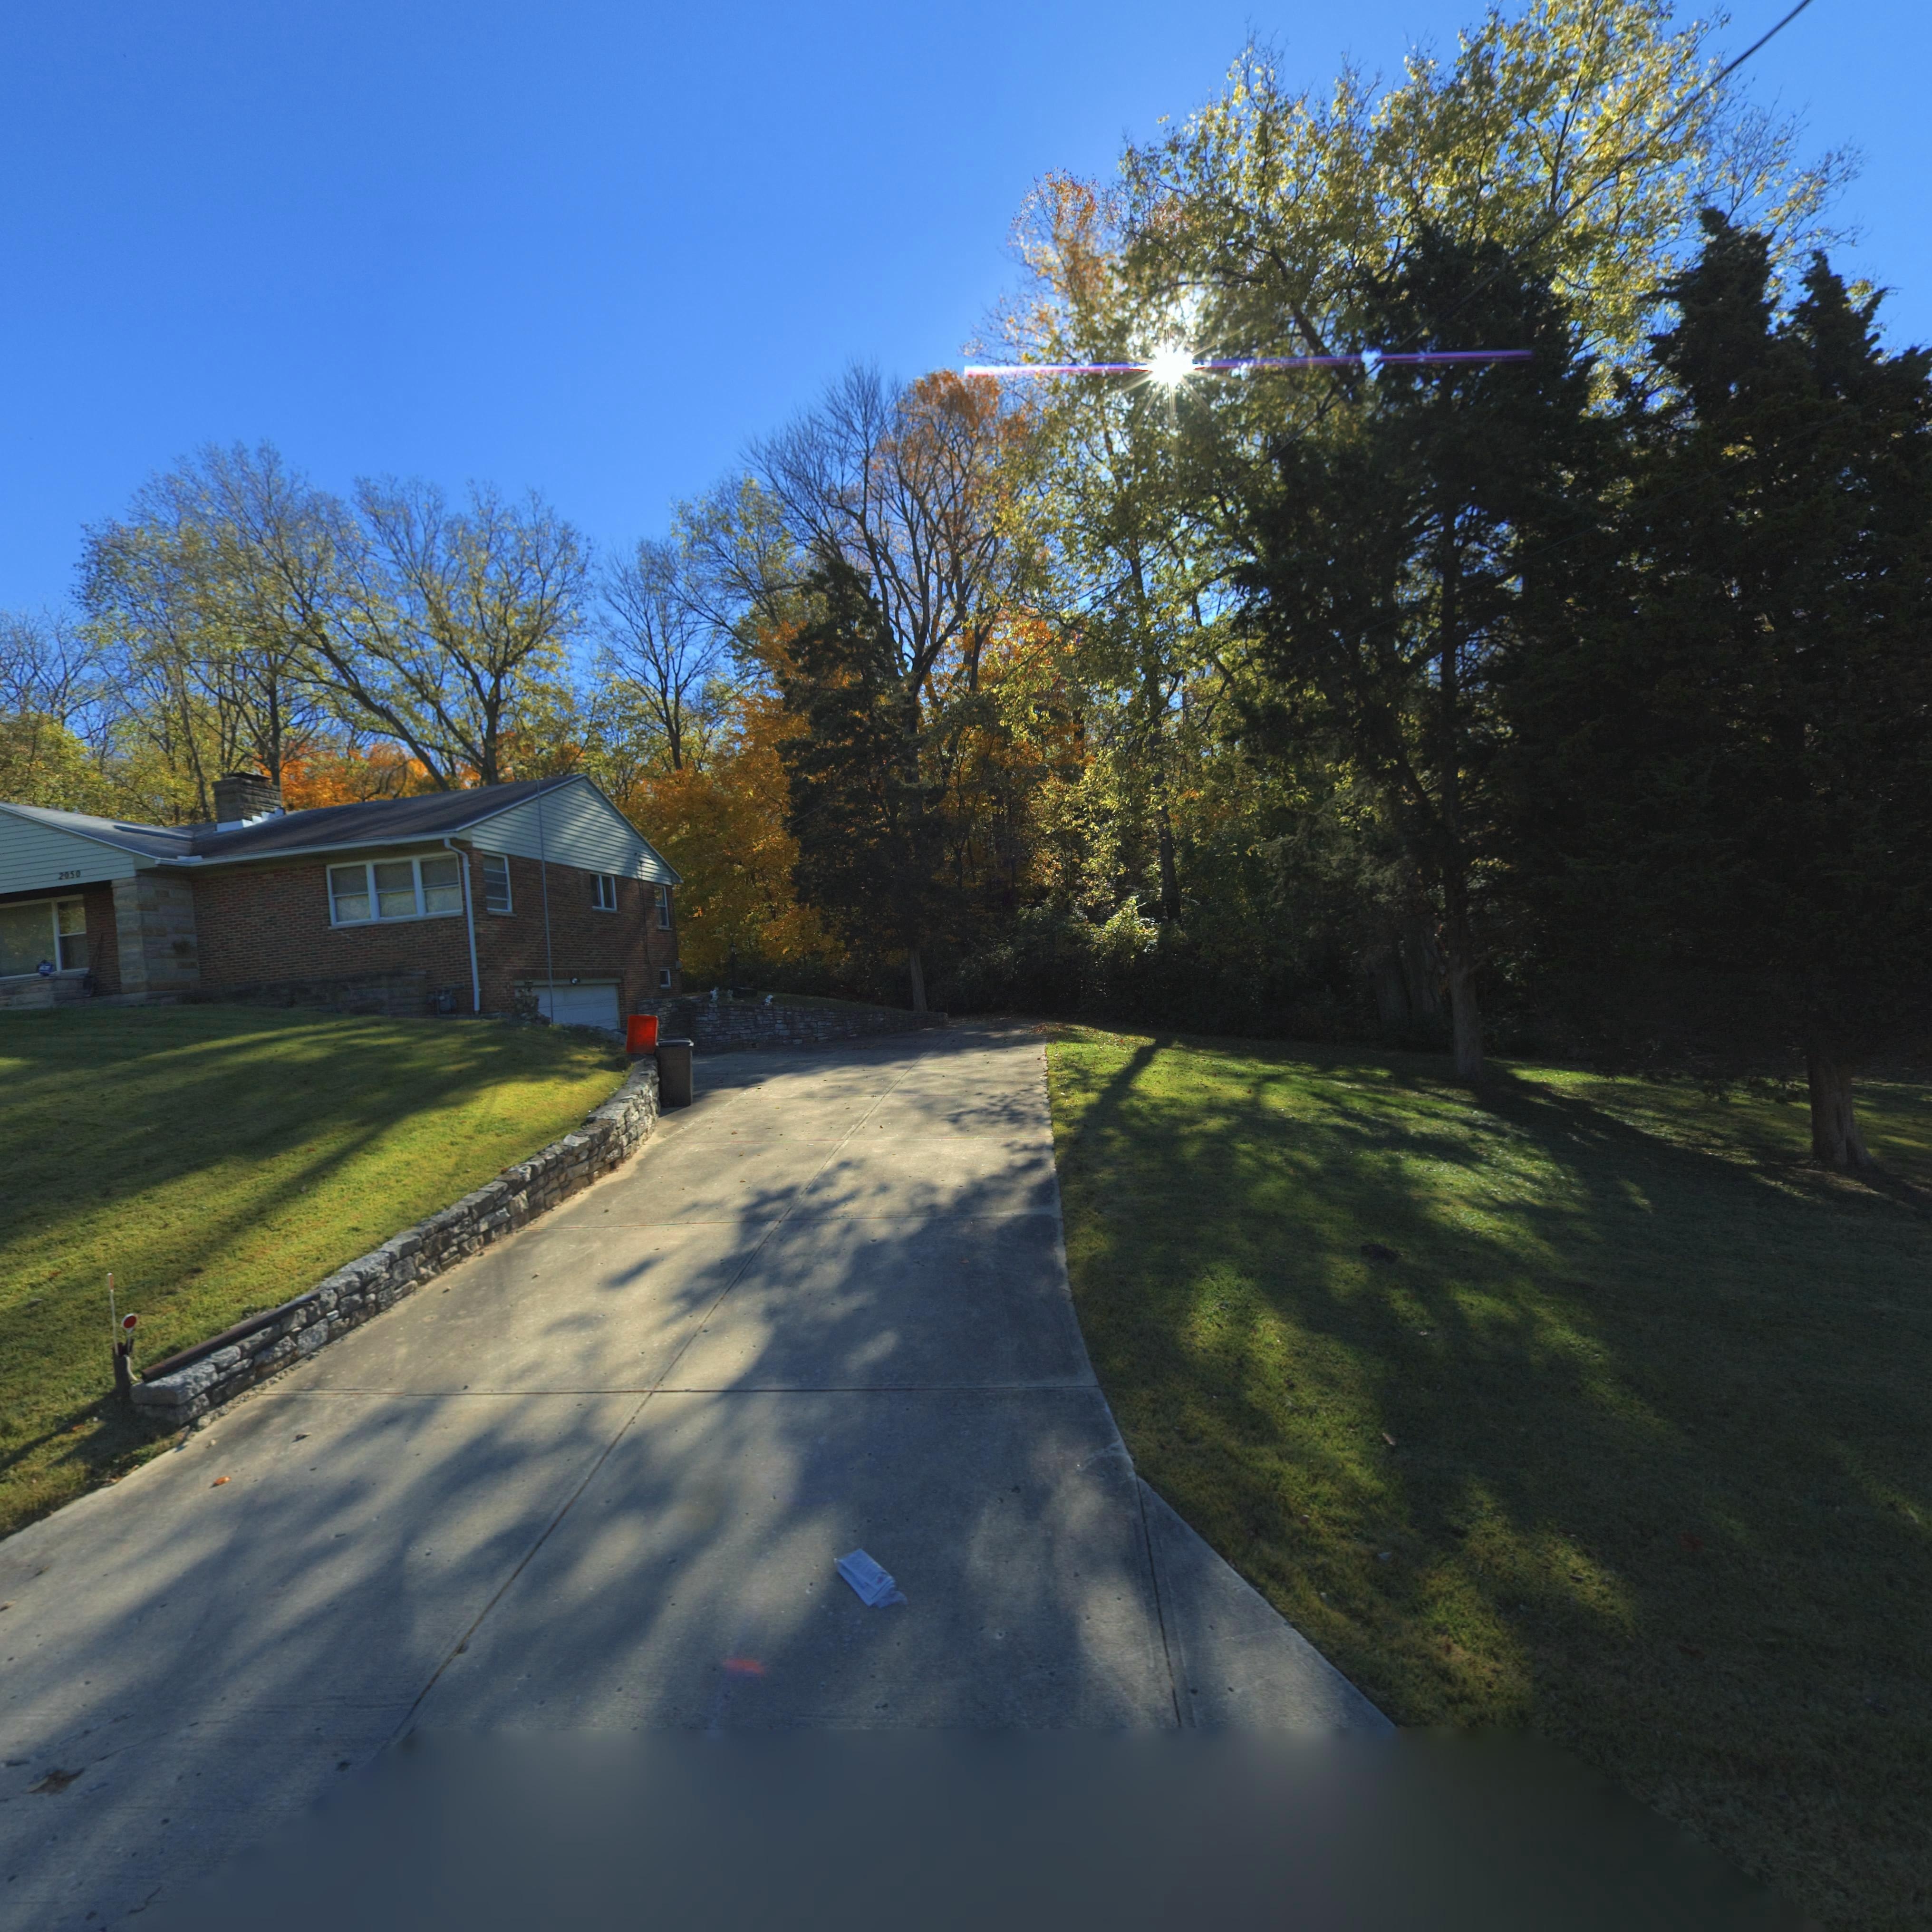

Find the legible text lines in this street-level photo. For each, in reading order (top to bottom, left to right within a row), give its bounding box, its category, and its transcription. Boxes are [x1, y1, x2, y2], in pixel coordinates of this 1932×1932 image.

[58, 869, 81, 880] StreetNumber: 2050